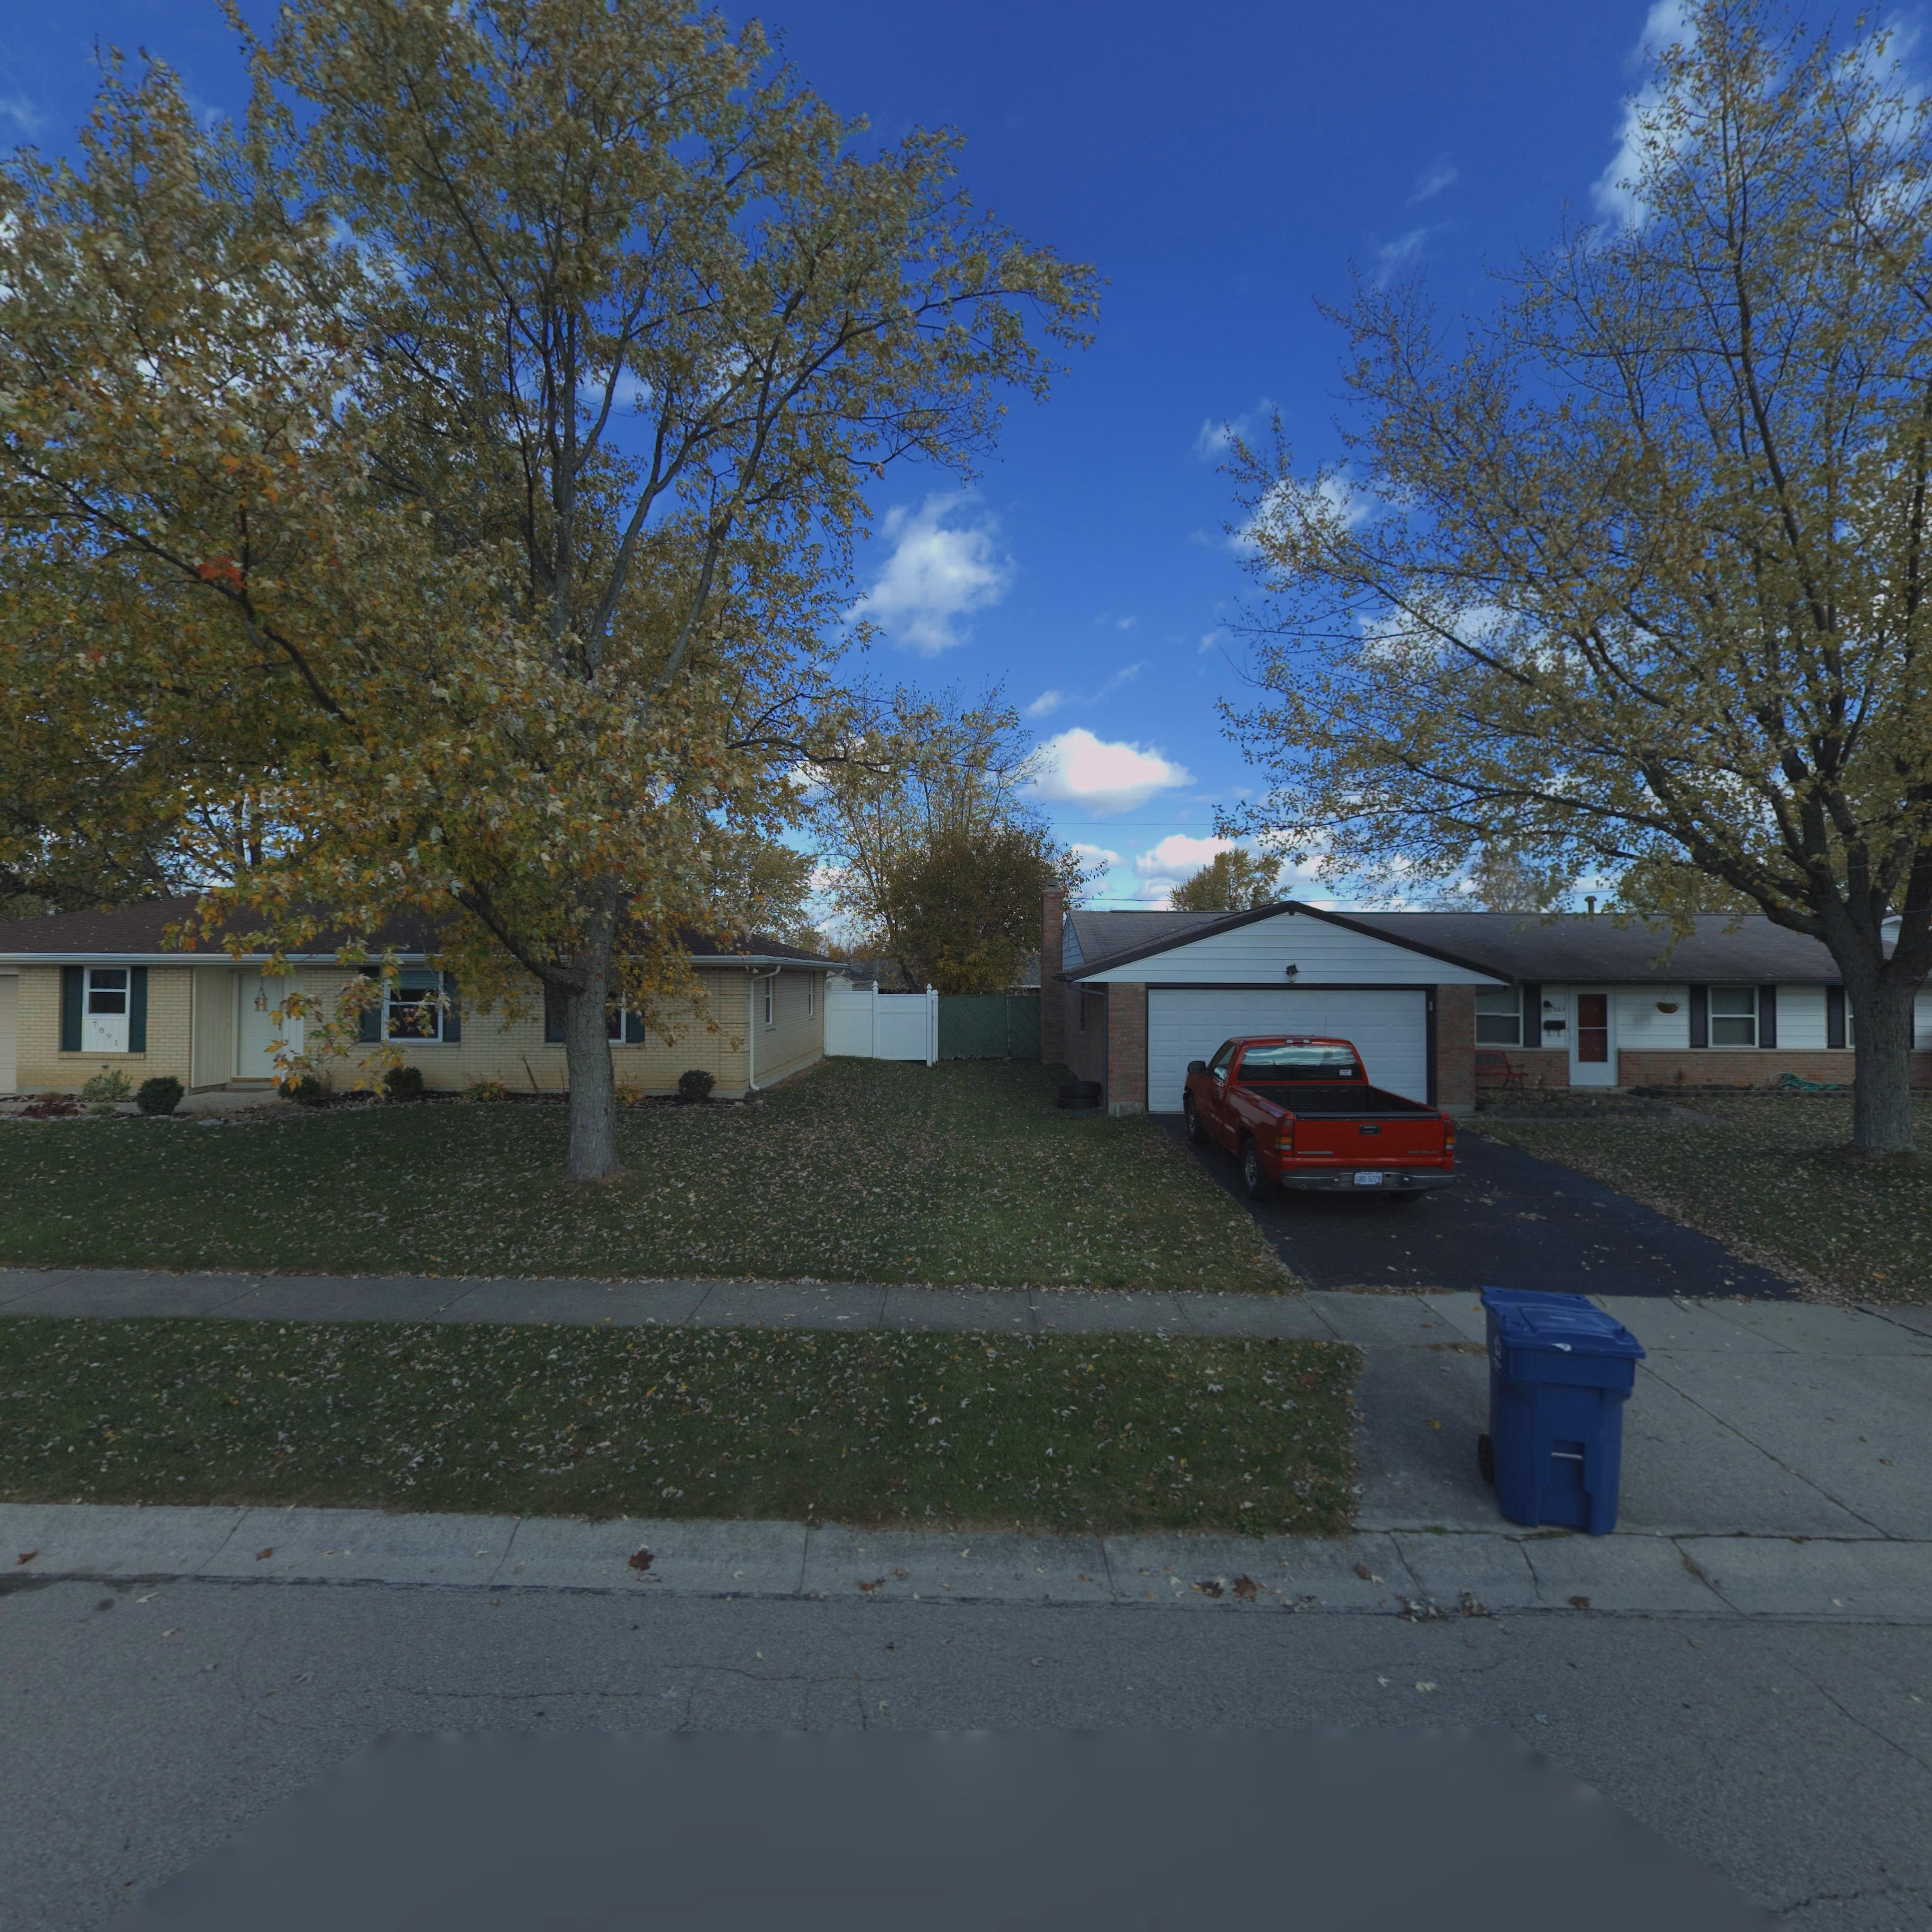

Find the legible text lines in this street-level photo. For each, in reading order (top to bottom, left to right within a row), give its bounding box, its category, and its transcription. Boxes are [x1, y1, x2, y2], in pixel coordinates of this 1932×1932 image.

[1548, 1005, 1566, 1013] StreetNumber: 788*
[92, 1021, 118, 1047] StreetNumber: 7891